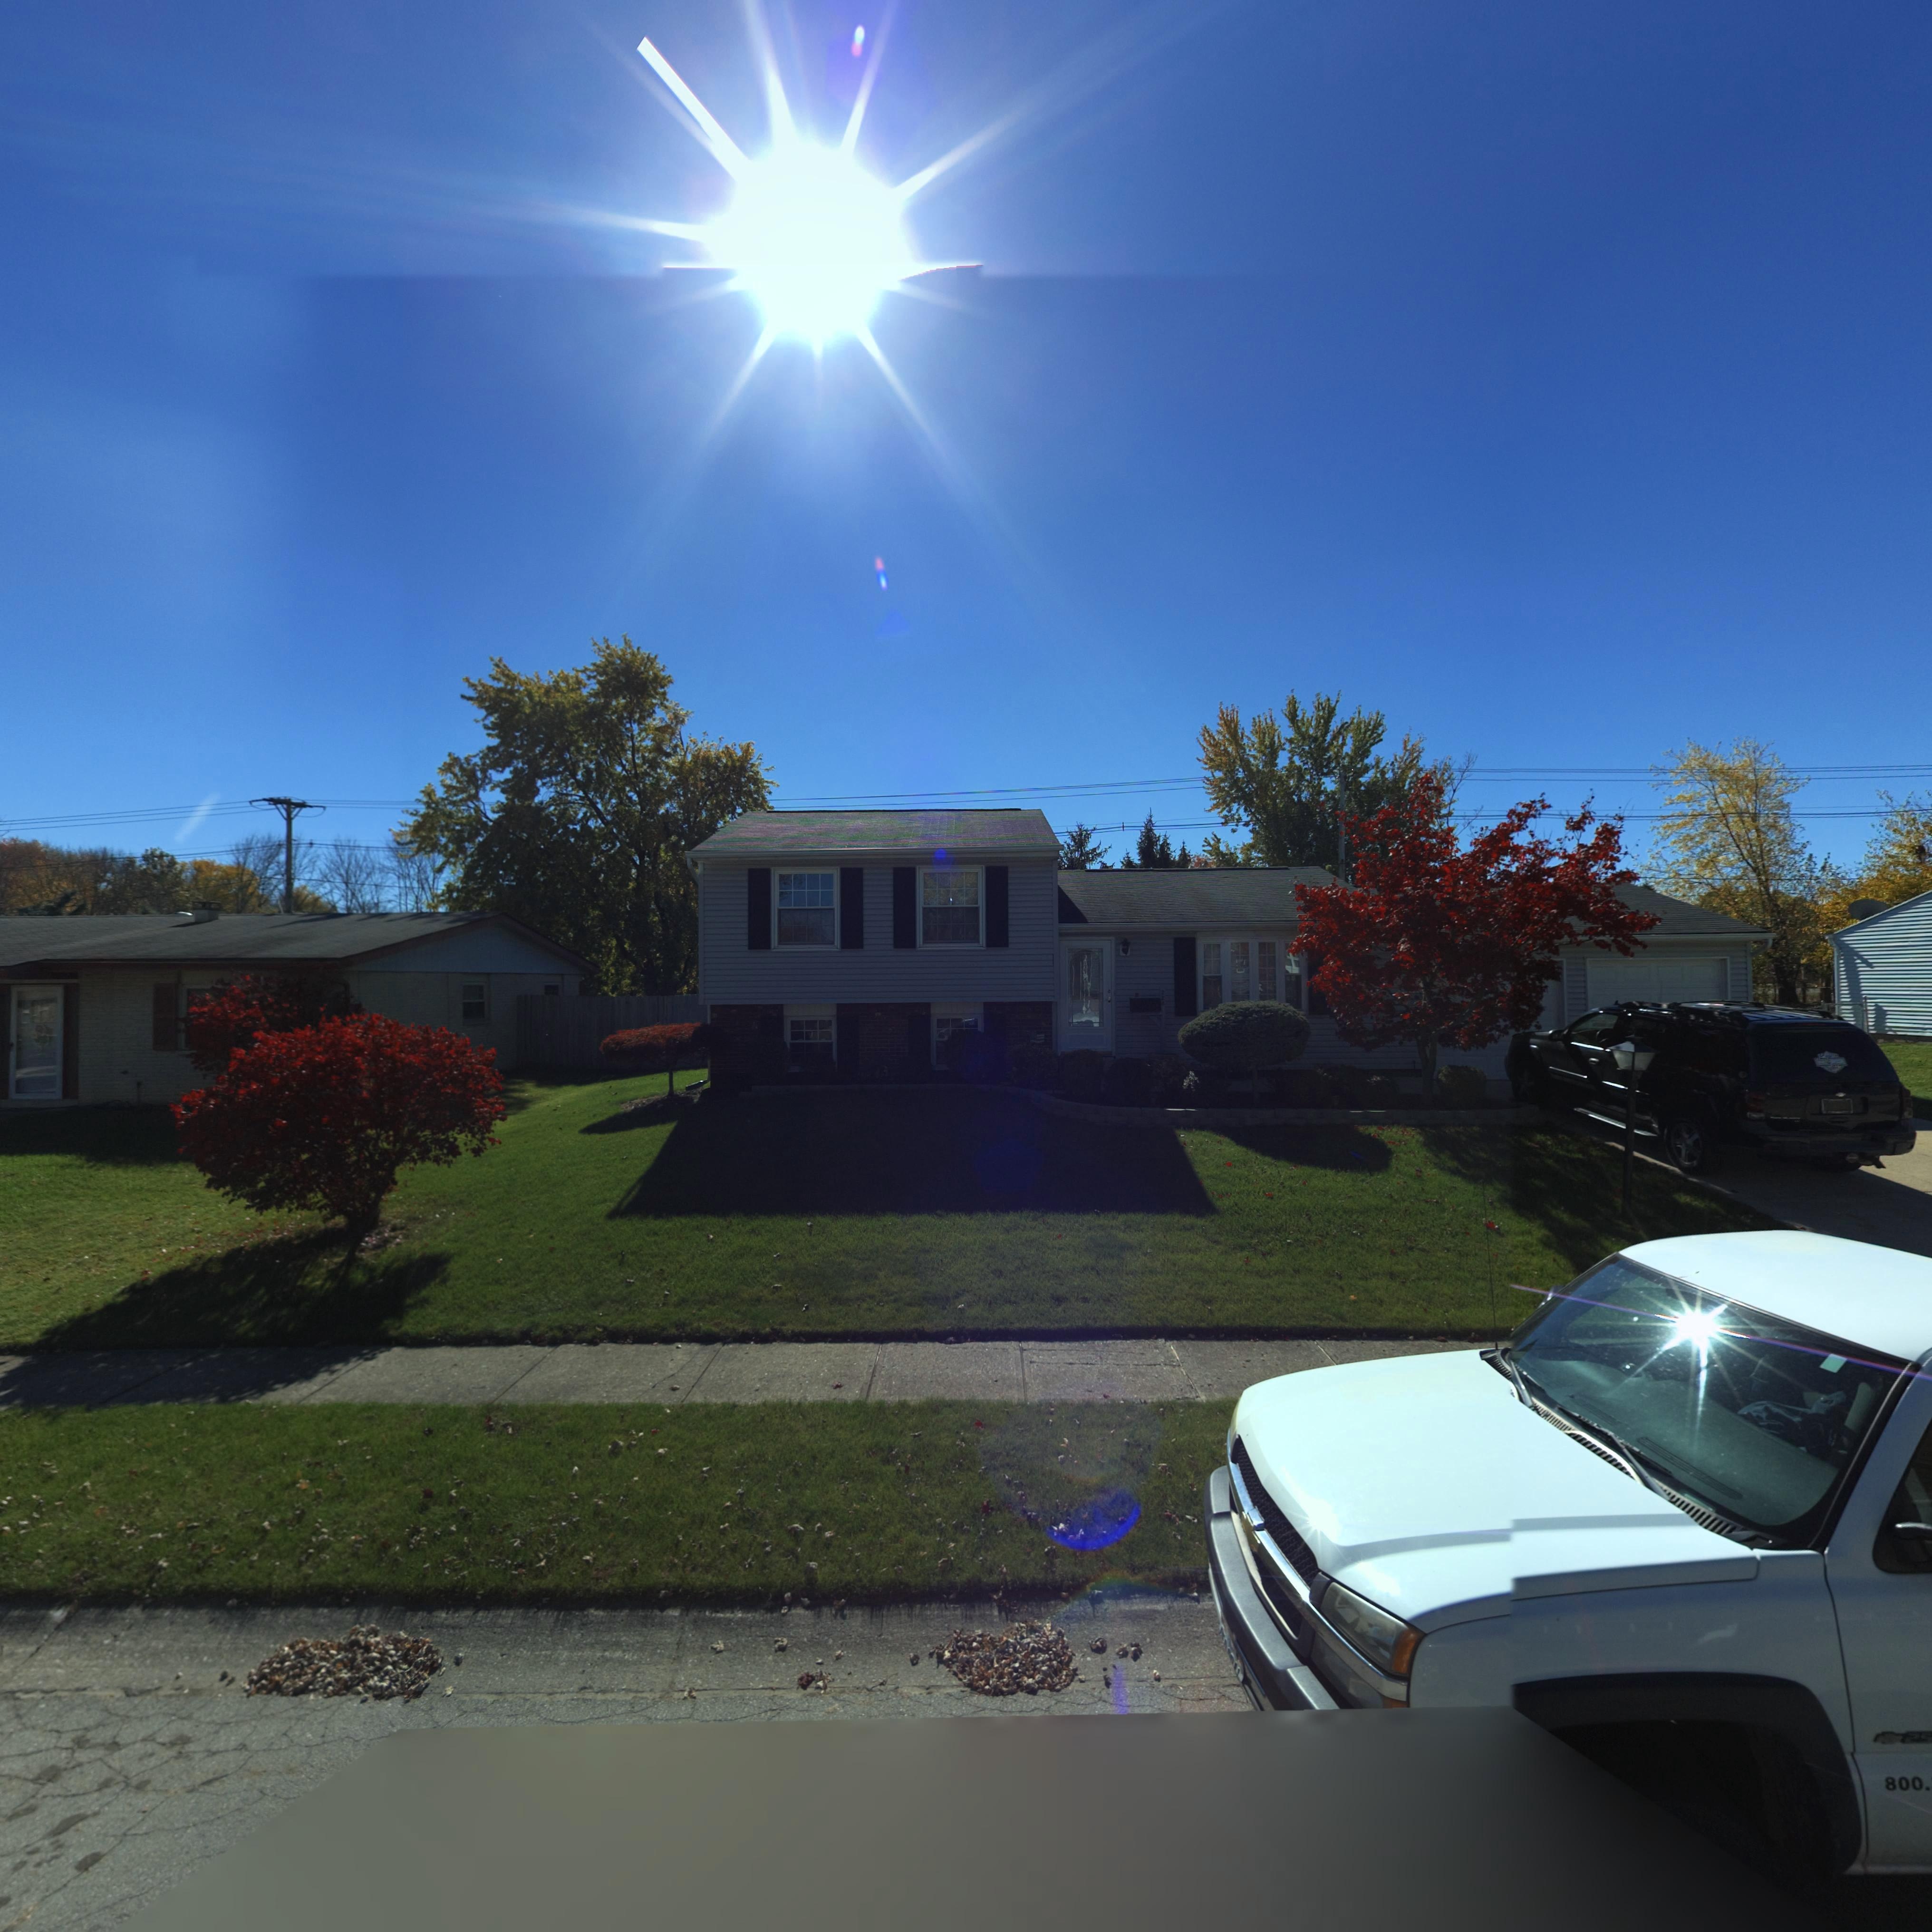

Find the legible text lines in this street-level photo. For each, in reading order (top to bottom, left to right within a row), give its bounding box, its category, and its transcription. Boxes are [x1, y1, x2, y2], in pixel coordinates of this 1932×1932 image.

[1161, 989, 1165, 1006] StreetNumber: 22*